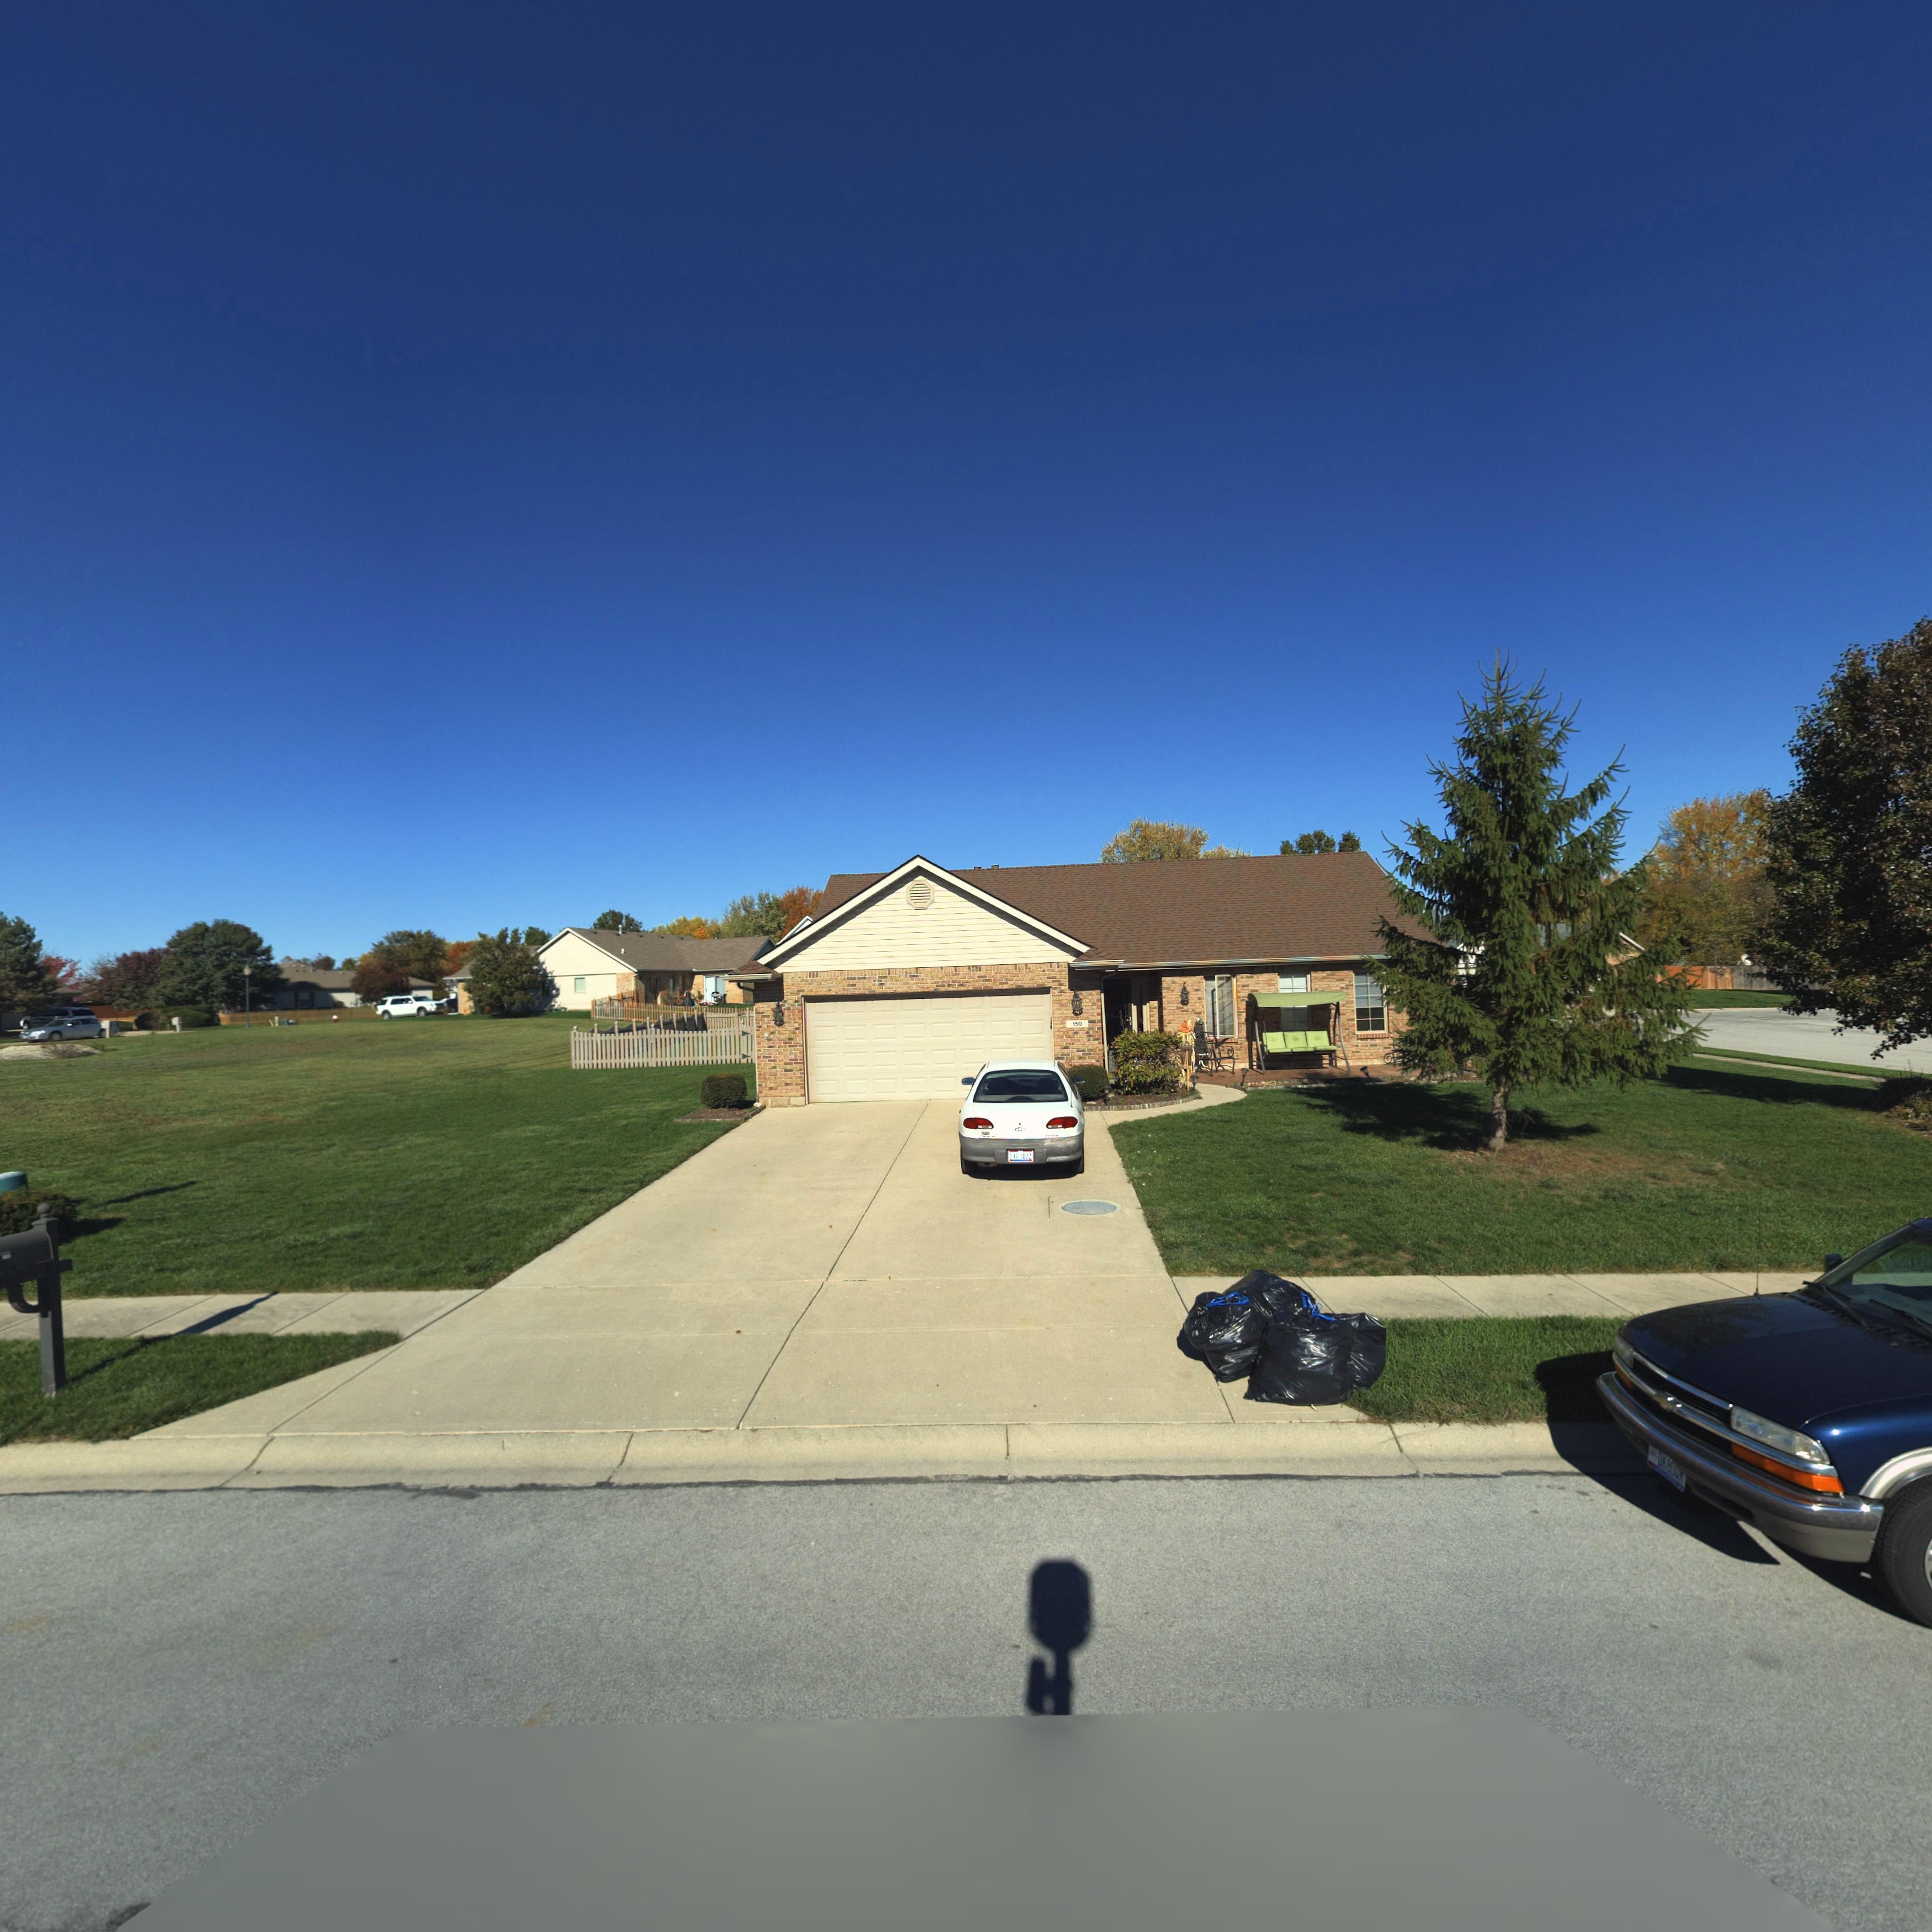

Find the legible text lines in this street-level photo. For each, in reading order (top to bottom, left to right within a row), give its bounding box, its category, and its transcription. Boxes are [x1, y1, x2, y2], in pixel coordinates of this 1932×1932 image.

[1072, 1021, 1082, 1026] StreetNumber: 150